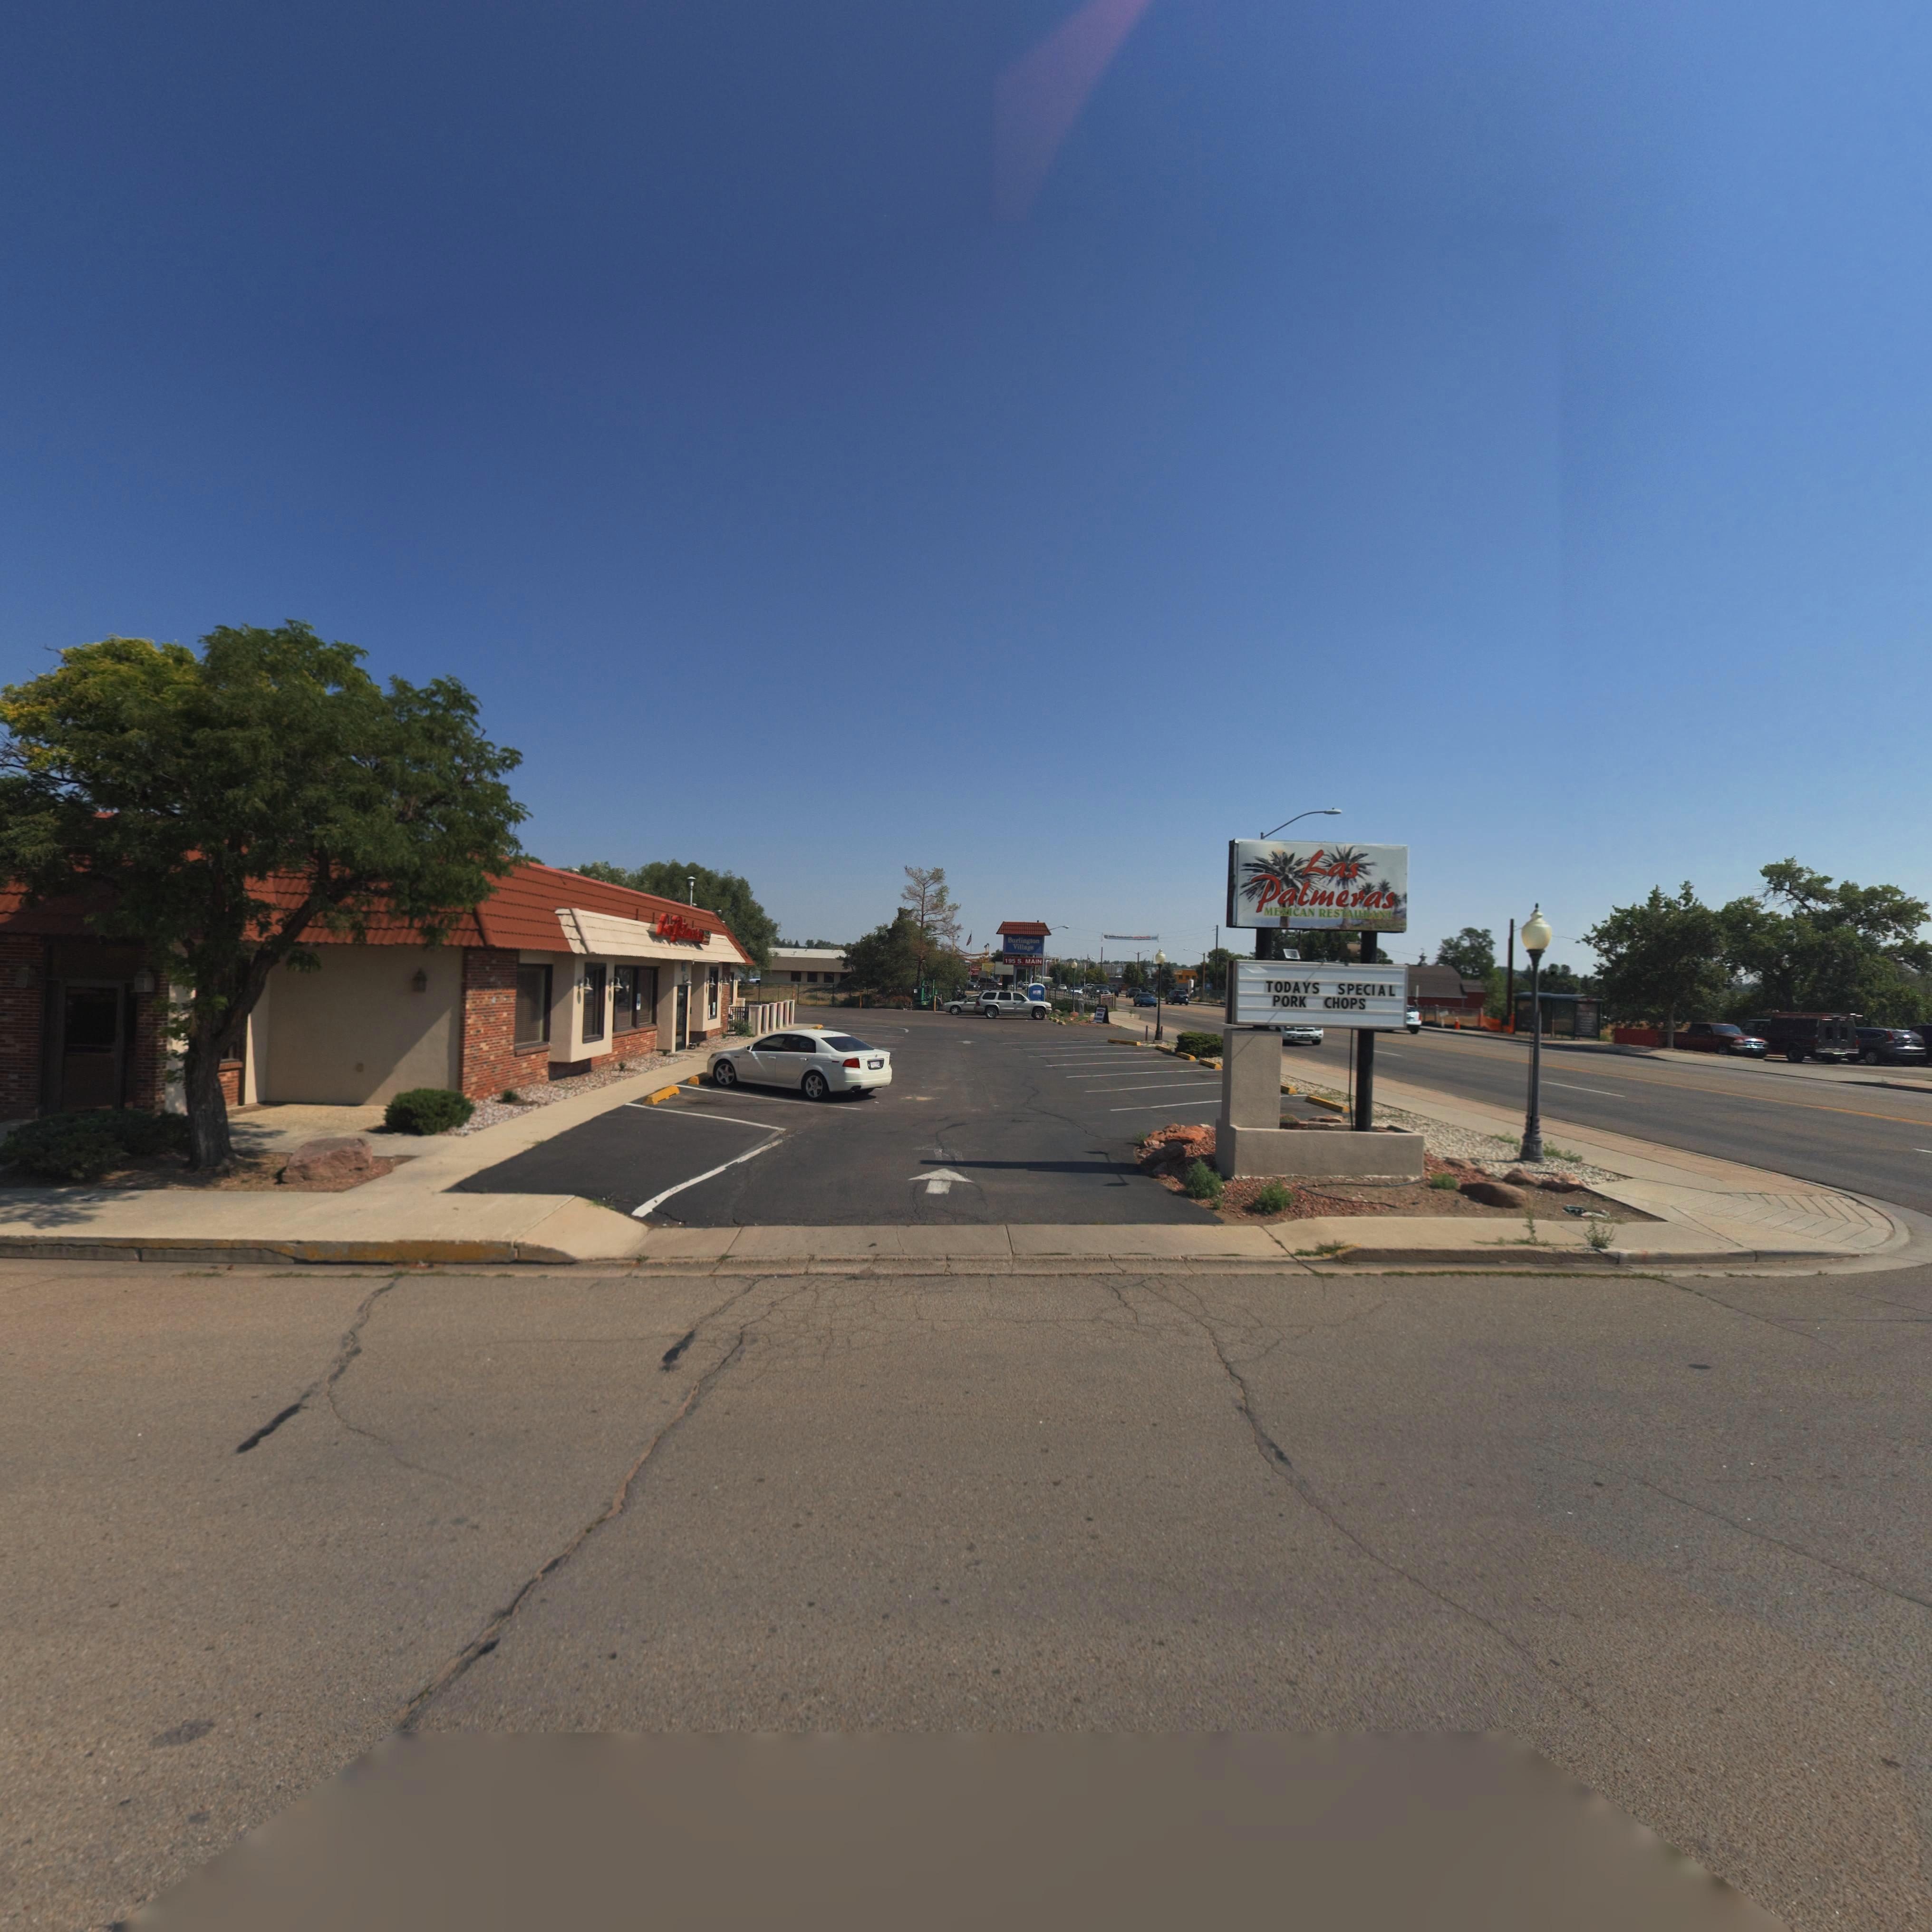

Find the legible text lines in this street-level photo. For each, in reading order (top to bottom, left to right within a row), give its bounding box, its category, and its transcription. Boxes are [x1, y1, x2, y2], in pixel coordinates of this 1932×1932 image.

[1300, 848, 1360, 879] BusinessName: Las
[1248, 872, 1397, 914] BusinessName: Palmeras
[655, 912, 704, 943] None: L** P*l***s
[1005, 958, 1015, 964] StreetNumber: 195
[1017, 958, 1042, 964] StreetName: S. MAIN